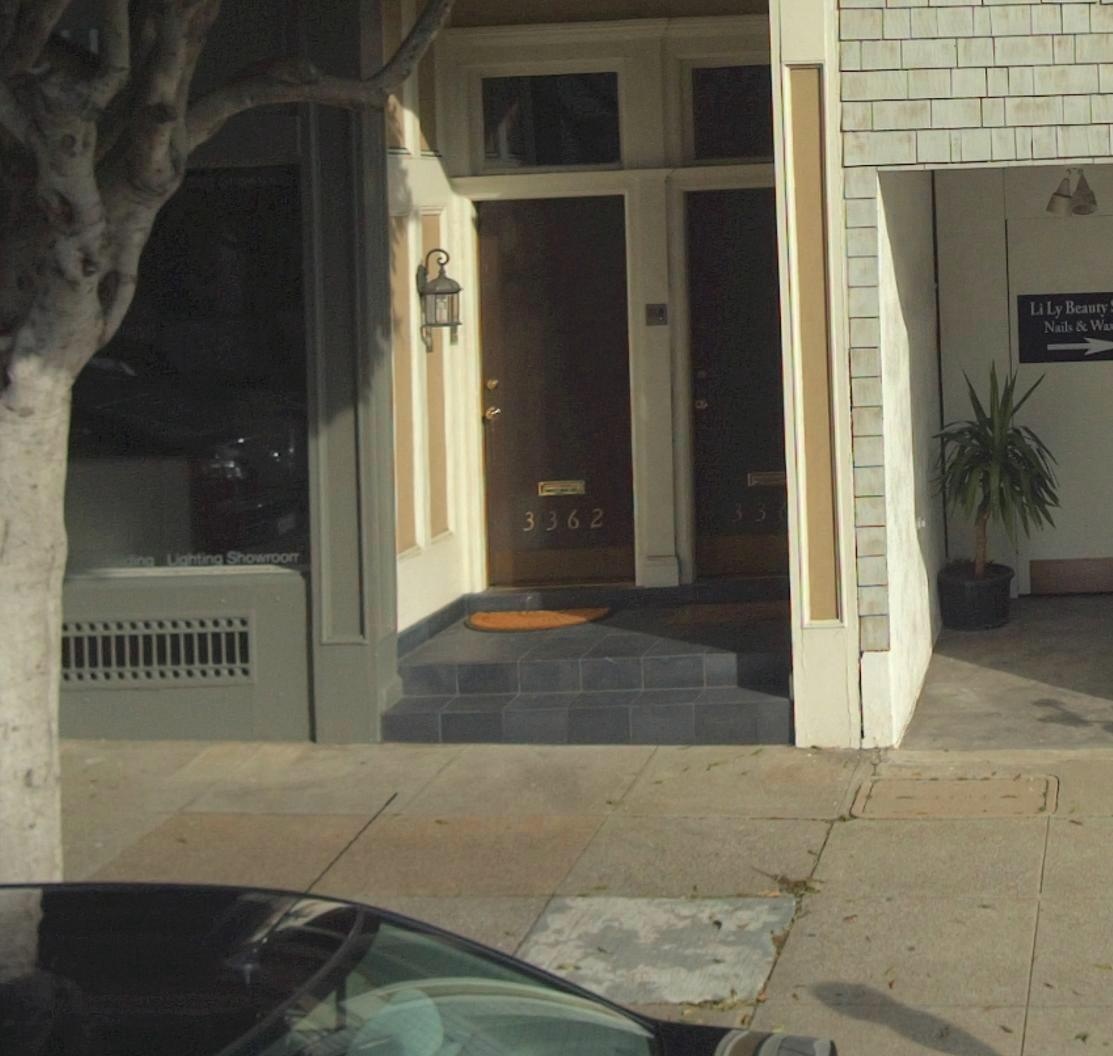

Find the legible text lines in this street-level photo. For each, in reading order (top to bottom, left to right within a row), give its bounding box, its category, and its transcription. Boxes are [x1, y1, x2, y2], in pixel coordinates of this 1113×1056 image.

[1024, 296, 1110, 319] BusinessName: LiLy Beauty
[1041, 318, 1111, 335] None: Nails & Wa
[519, 506, 606, 534] StreetNumber: 3362
[729, 499, 769, 524] BusinessName: 33